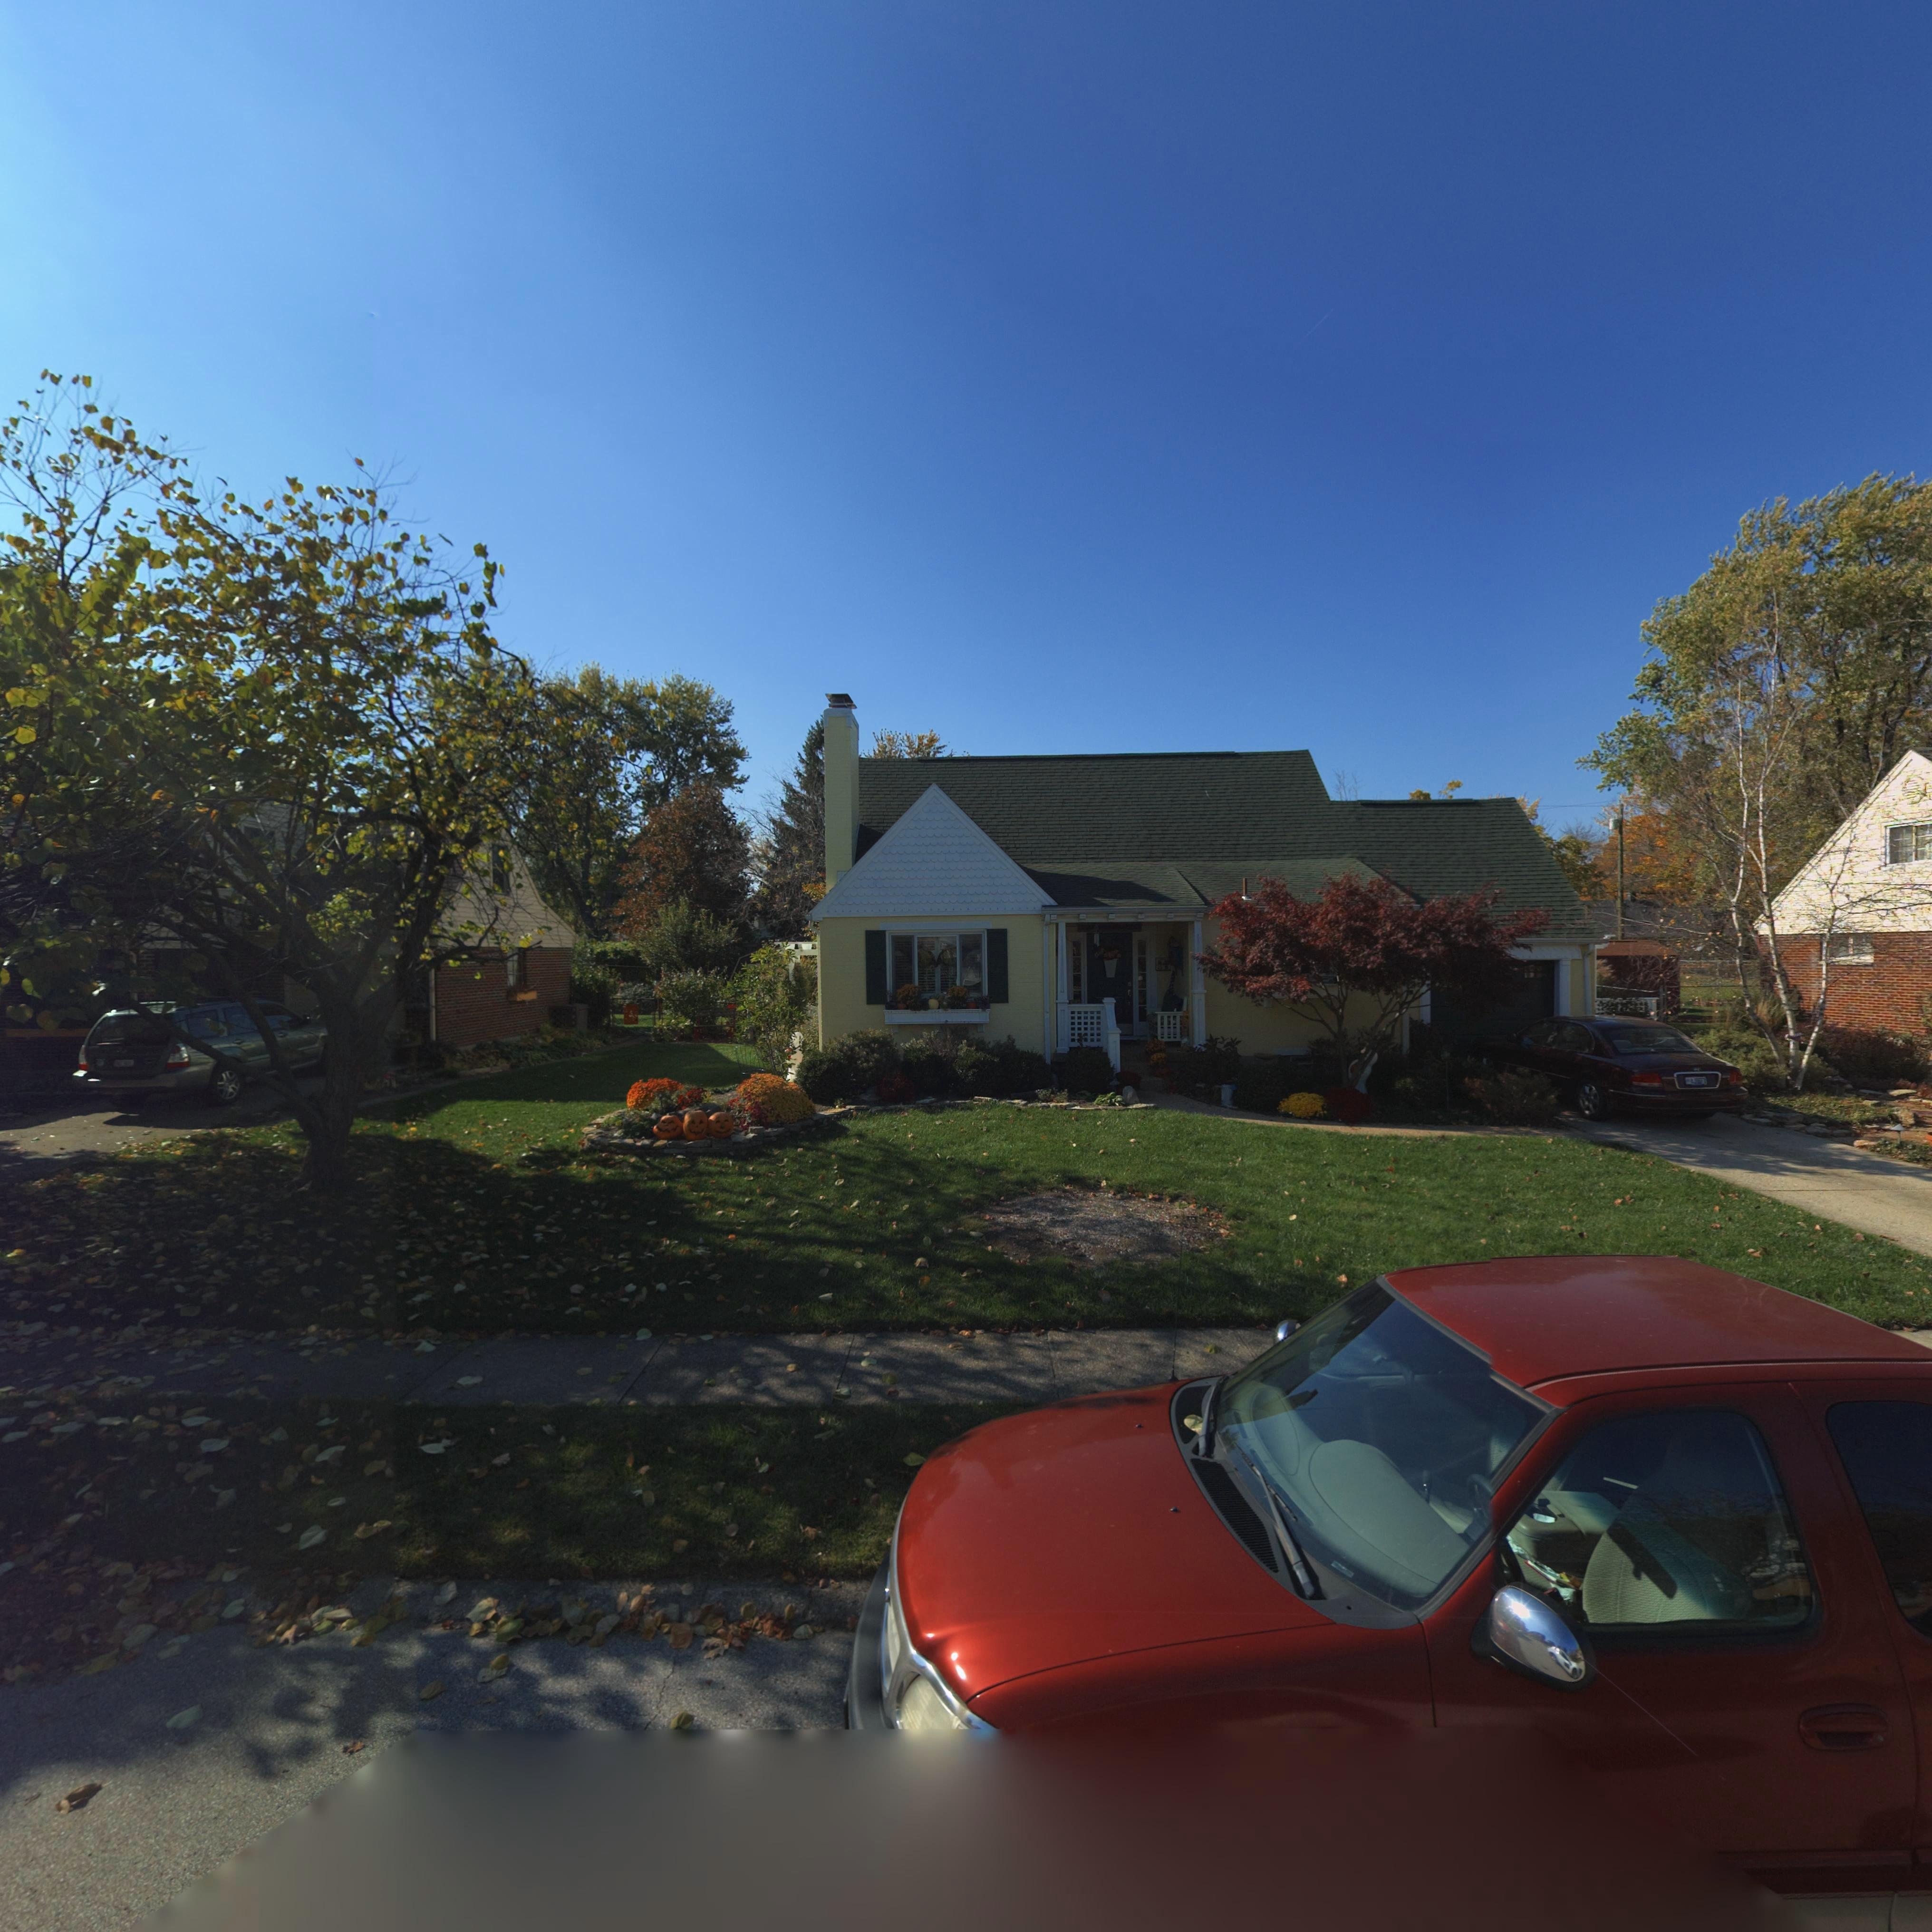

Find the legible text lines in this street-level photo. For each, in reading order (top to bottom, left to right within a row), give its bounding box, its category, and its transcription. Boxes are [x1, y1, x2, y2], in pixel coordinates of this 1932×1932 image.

[1690, 1077, 1707, 1084] None: AJ****